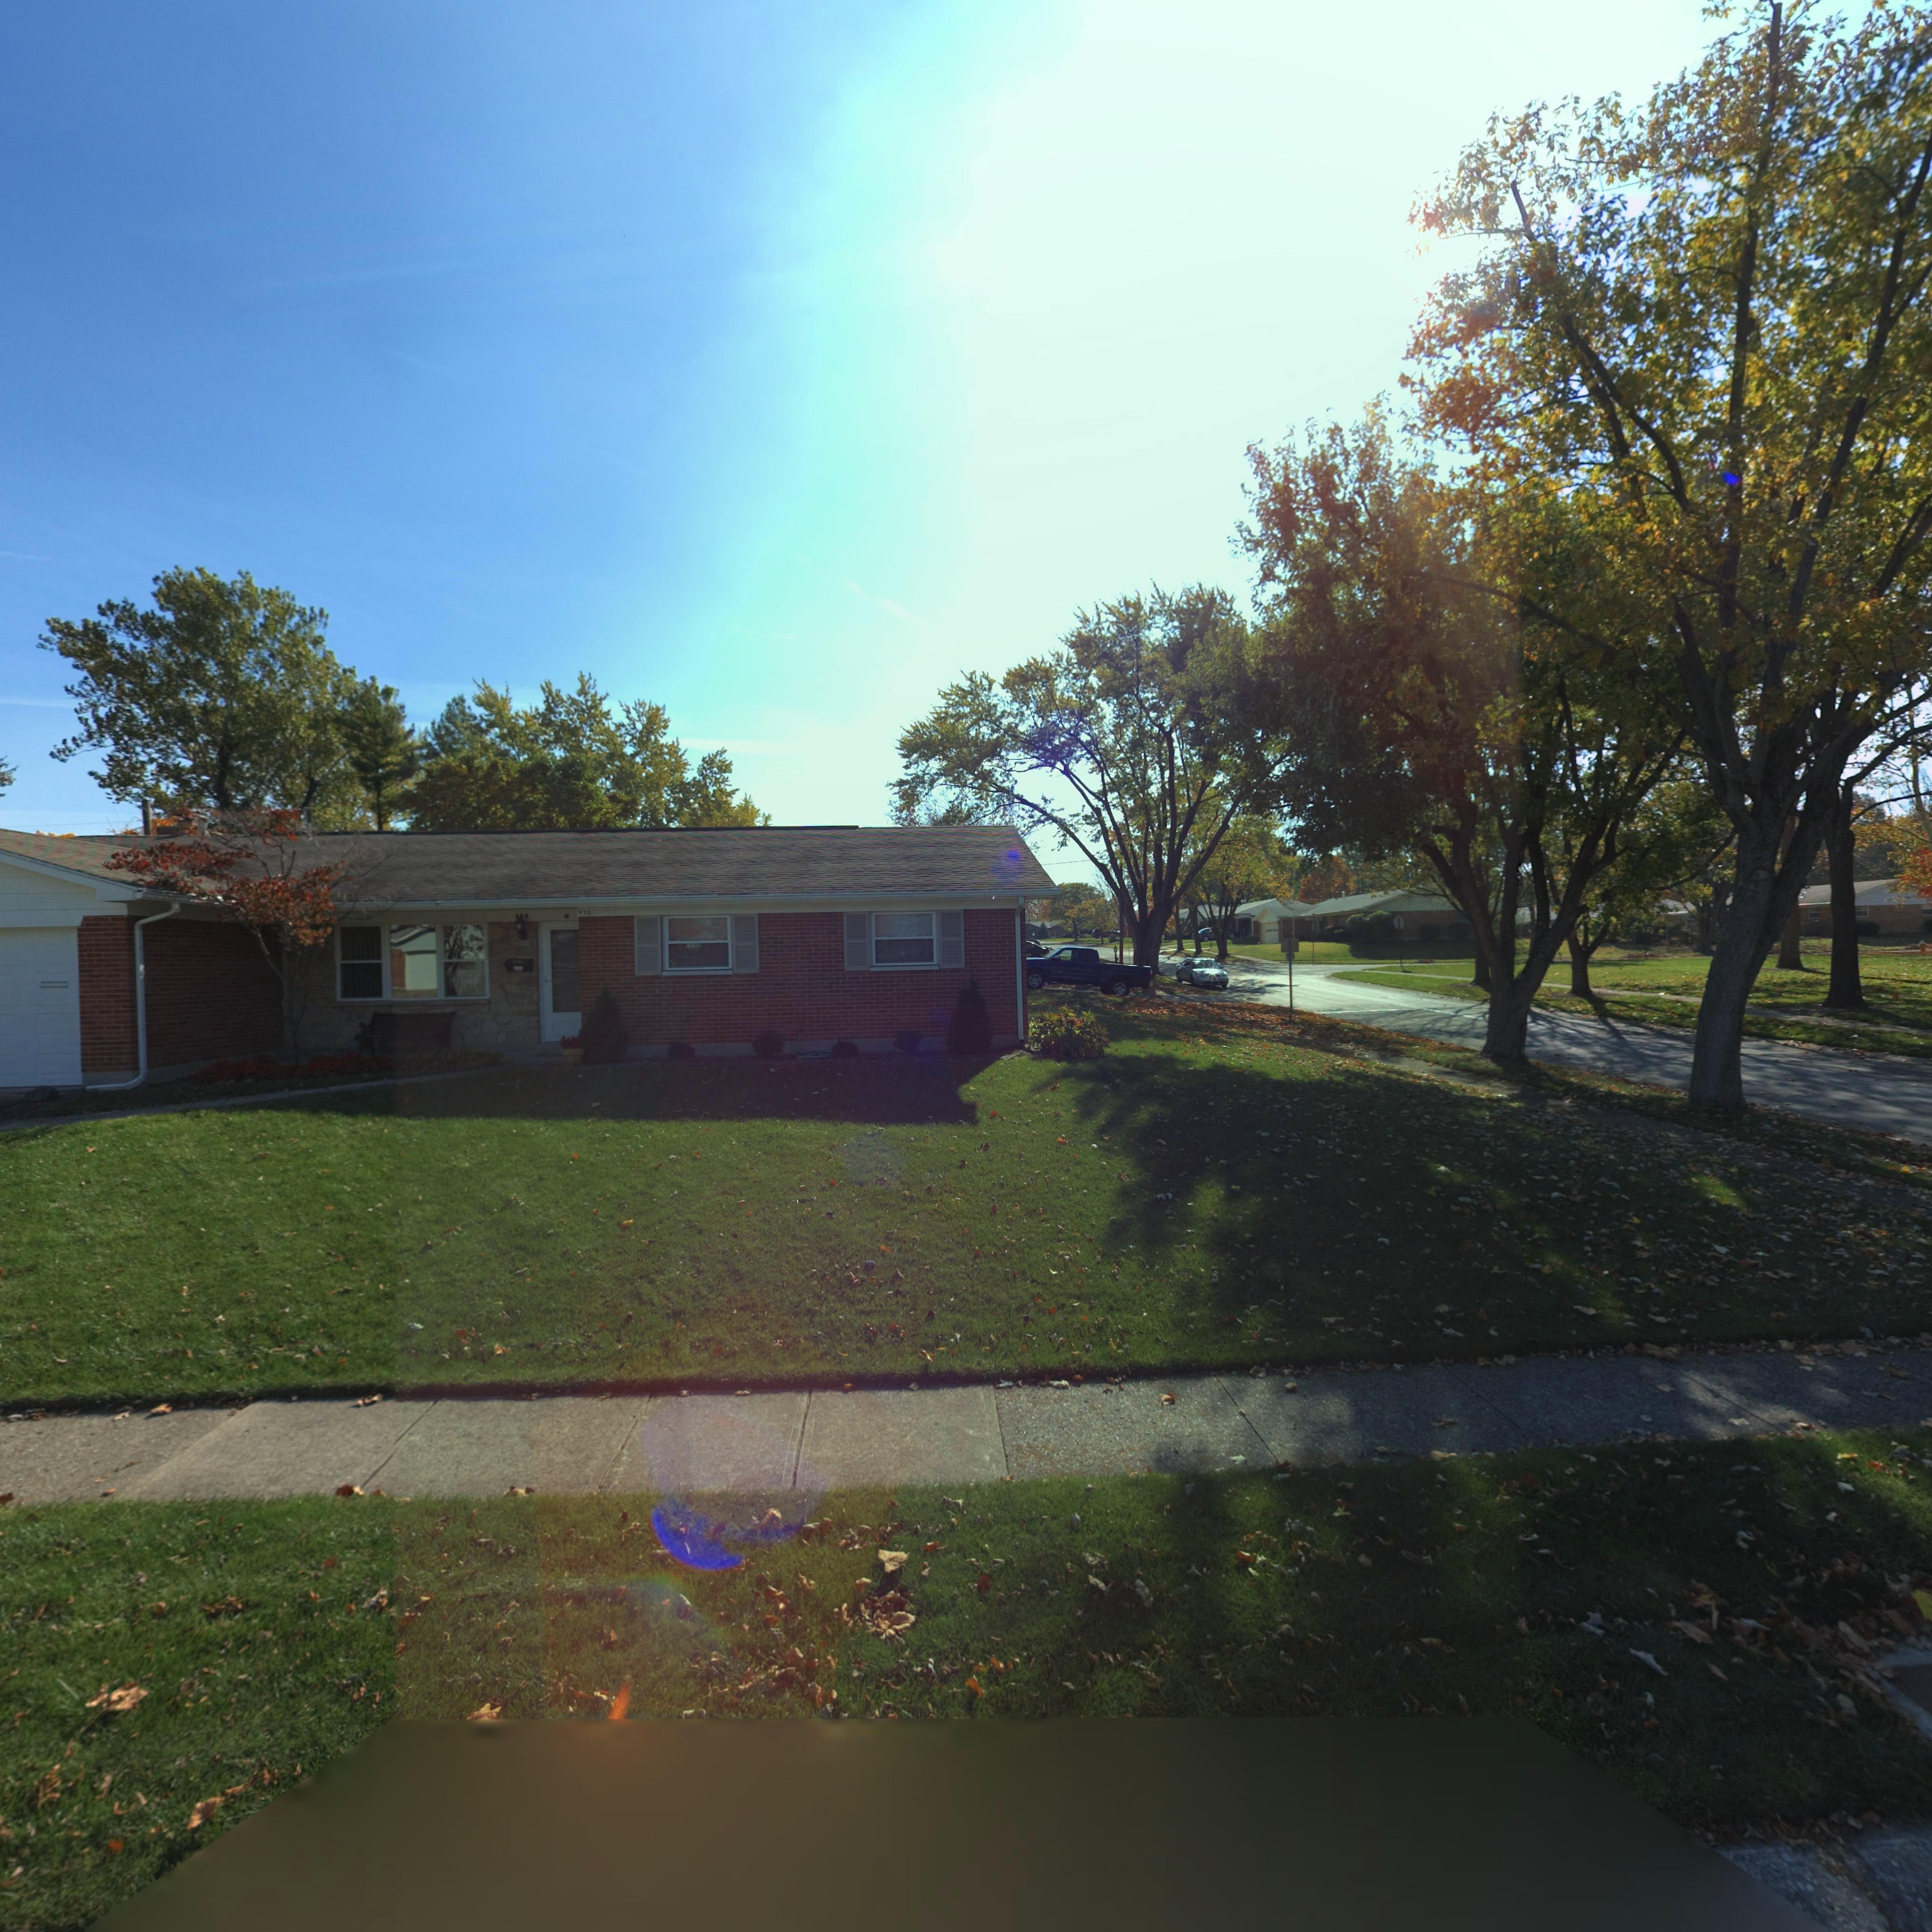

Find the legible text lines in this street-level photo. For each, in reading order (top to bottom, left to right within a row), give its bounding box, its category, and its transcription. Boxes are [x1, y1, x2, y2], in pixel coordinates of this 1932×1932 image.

[578, 909, 591, 916] StreetNumber: 950